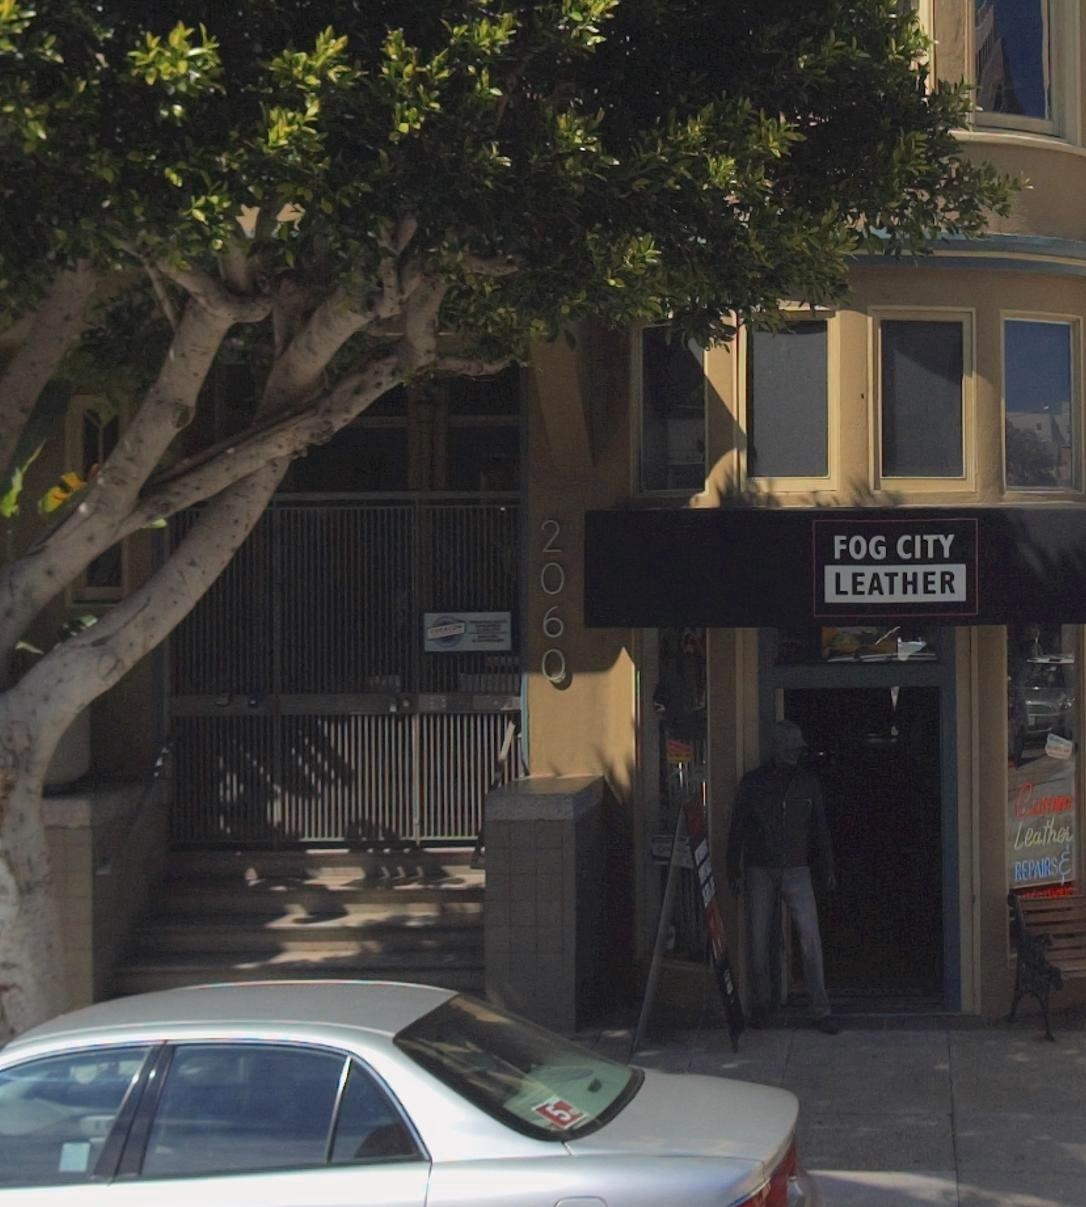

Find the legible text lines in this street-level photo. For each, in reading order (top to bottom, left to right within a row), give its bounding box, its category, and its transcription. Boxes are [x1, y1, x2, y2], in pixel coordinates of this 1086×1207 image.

[833, 534, 956, 561] BusinessName: FOG CITY
[540, 518, 567, 682] StreetNumber: 2060
[835, 571, 956, 595] BusinessName: LEATHER
[1014, 781, 1074, 823] None: Custom
[1012, 817, 1074, 853] None: Leather
[1014, 843, 1073, 887] None: REPAIRS &
[543, 1103, 576, 1124] None: 5